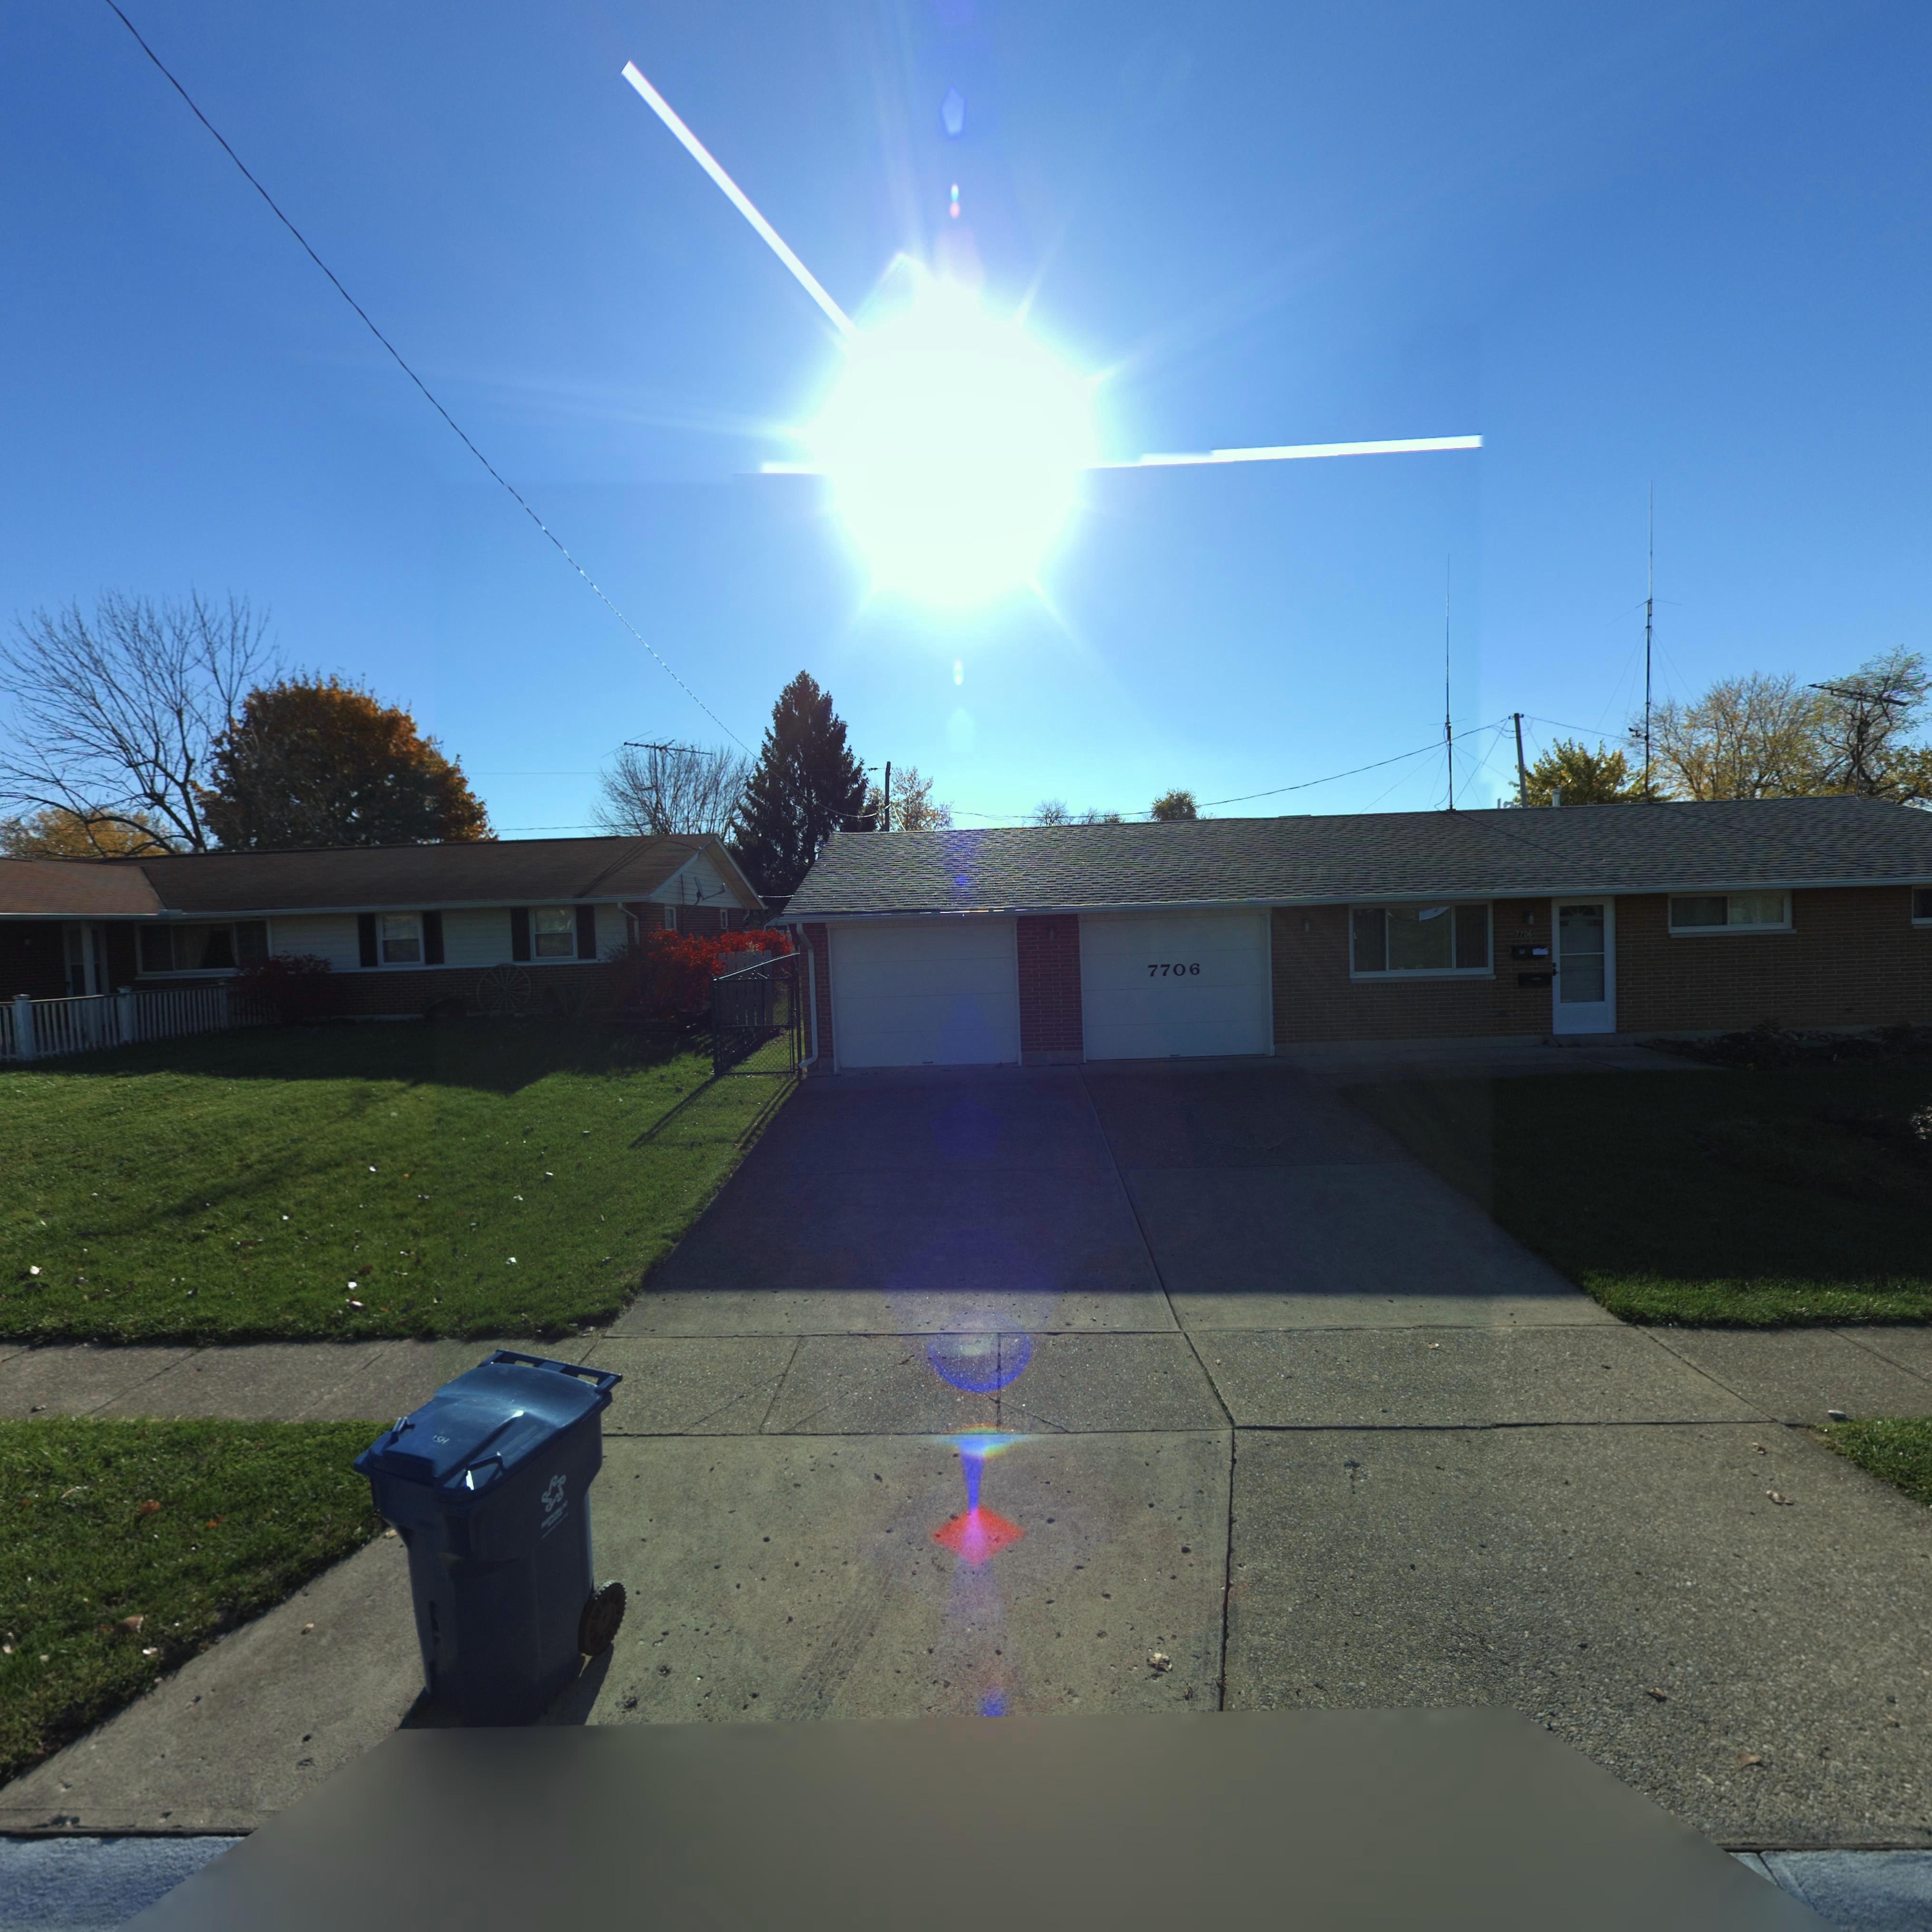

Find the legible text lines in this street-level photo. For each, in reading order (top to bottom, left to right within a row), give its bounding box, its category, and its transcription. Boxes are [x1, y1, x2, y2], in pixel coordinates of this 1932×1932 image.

[1514, 930, 1534, 938] StreetNumber: 7706
[1147, 962, 1202, 978] StreetNumber: 7706